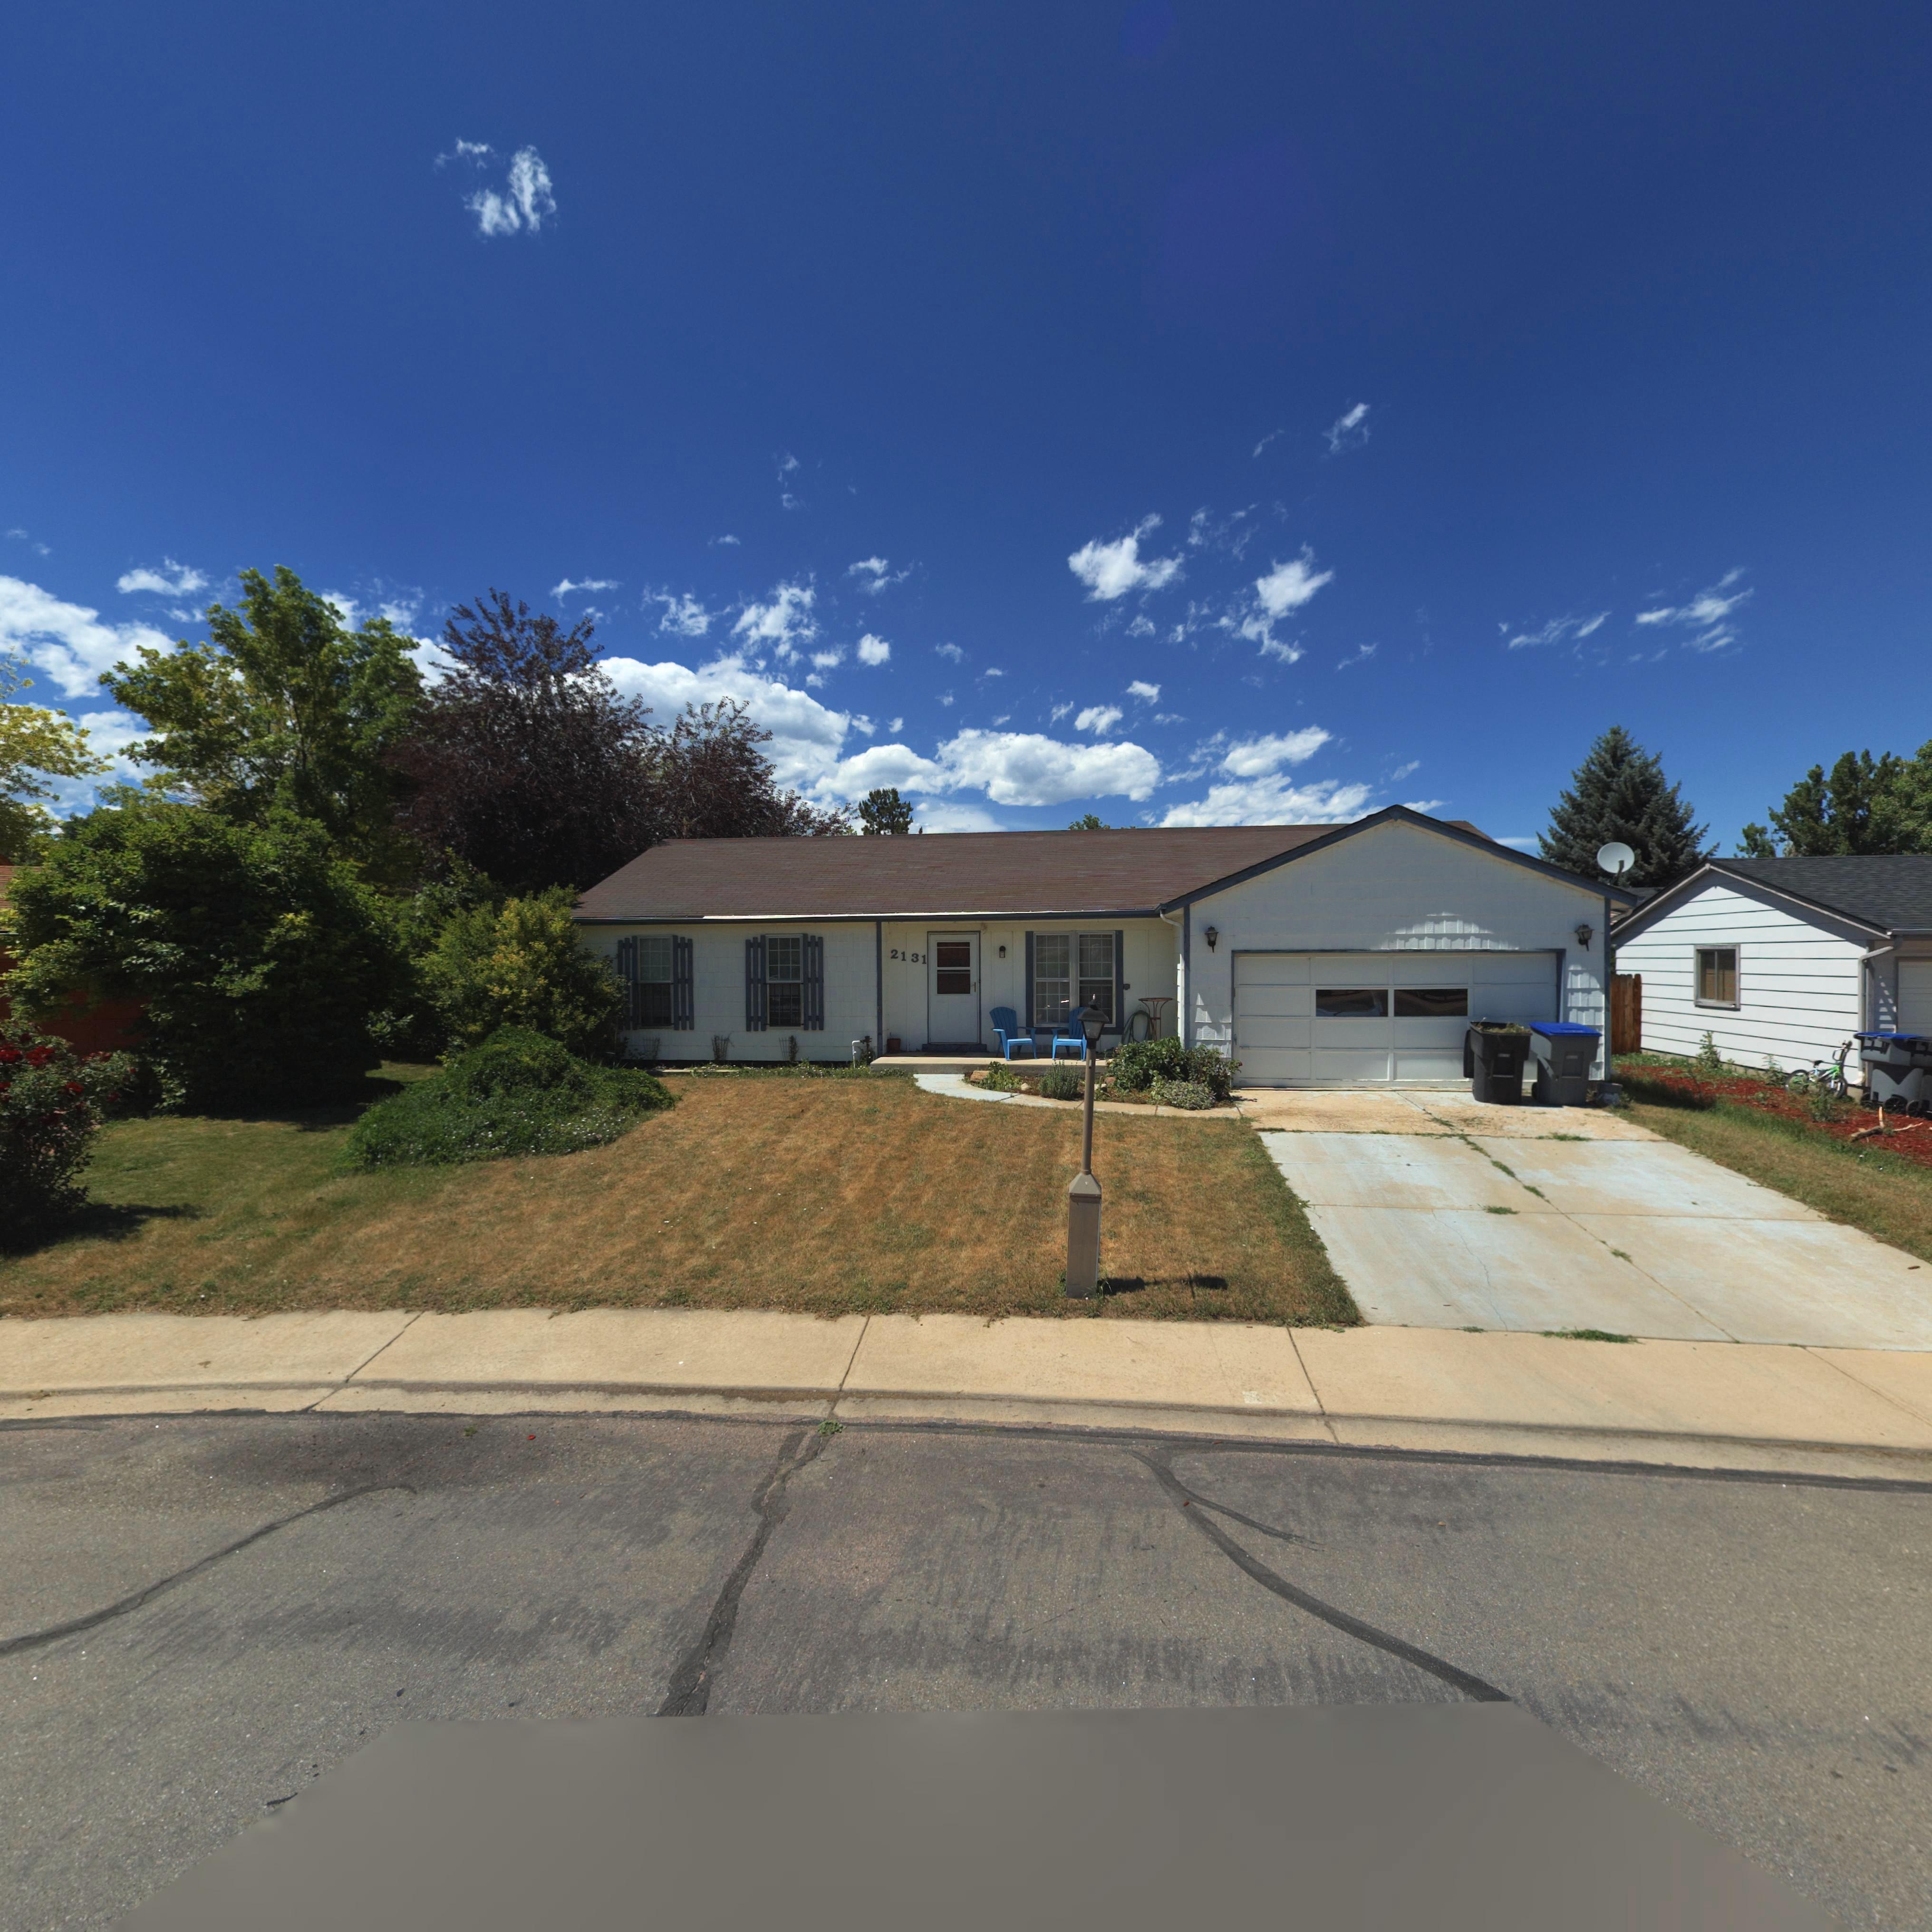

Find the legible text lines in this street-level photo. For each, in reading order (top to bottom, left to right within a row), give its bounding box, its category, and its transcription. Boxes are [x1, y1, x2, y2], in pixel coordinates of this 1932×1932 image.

[890, 948, 927, 965] StreetNumber: 2131